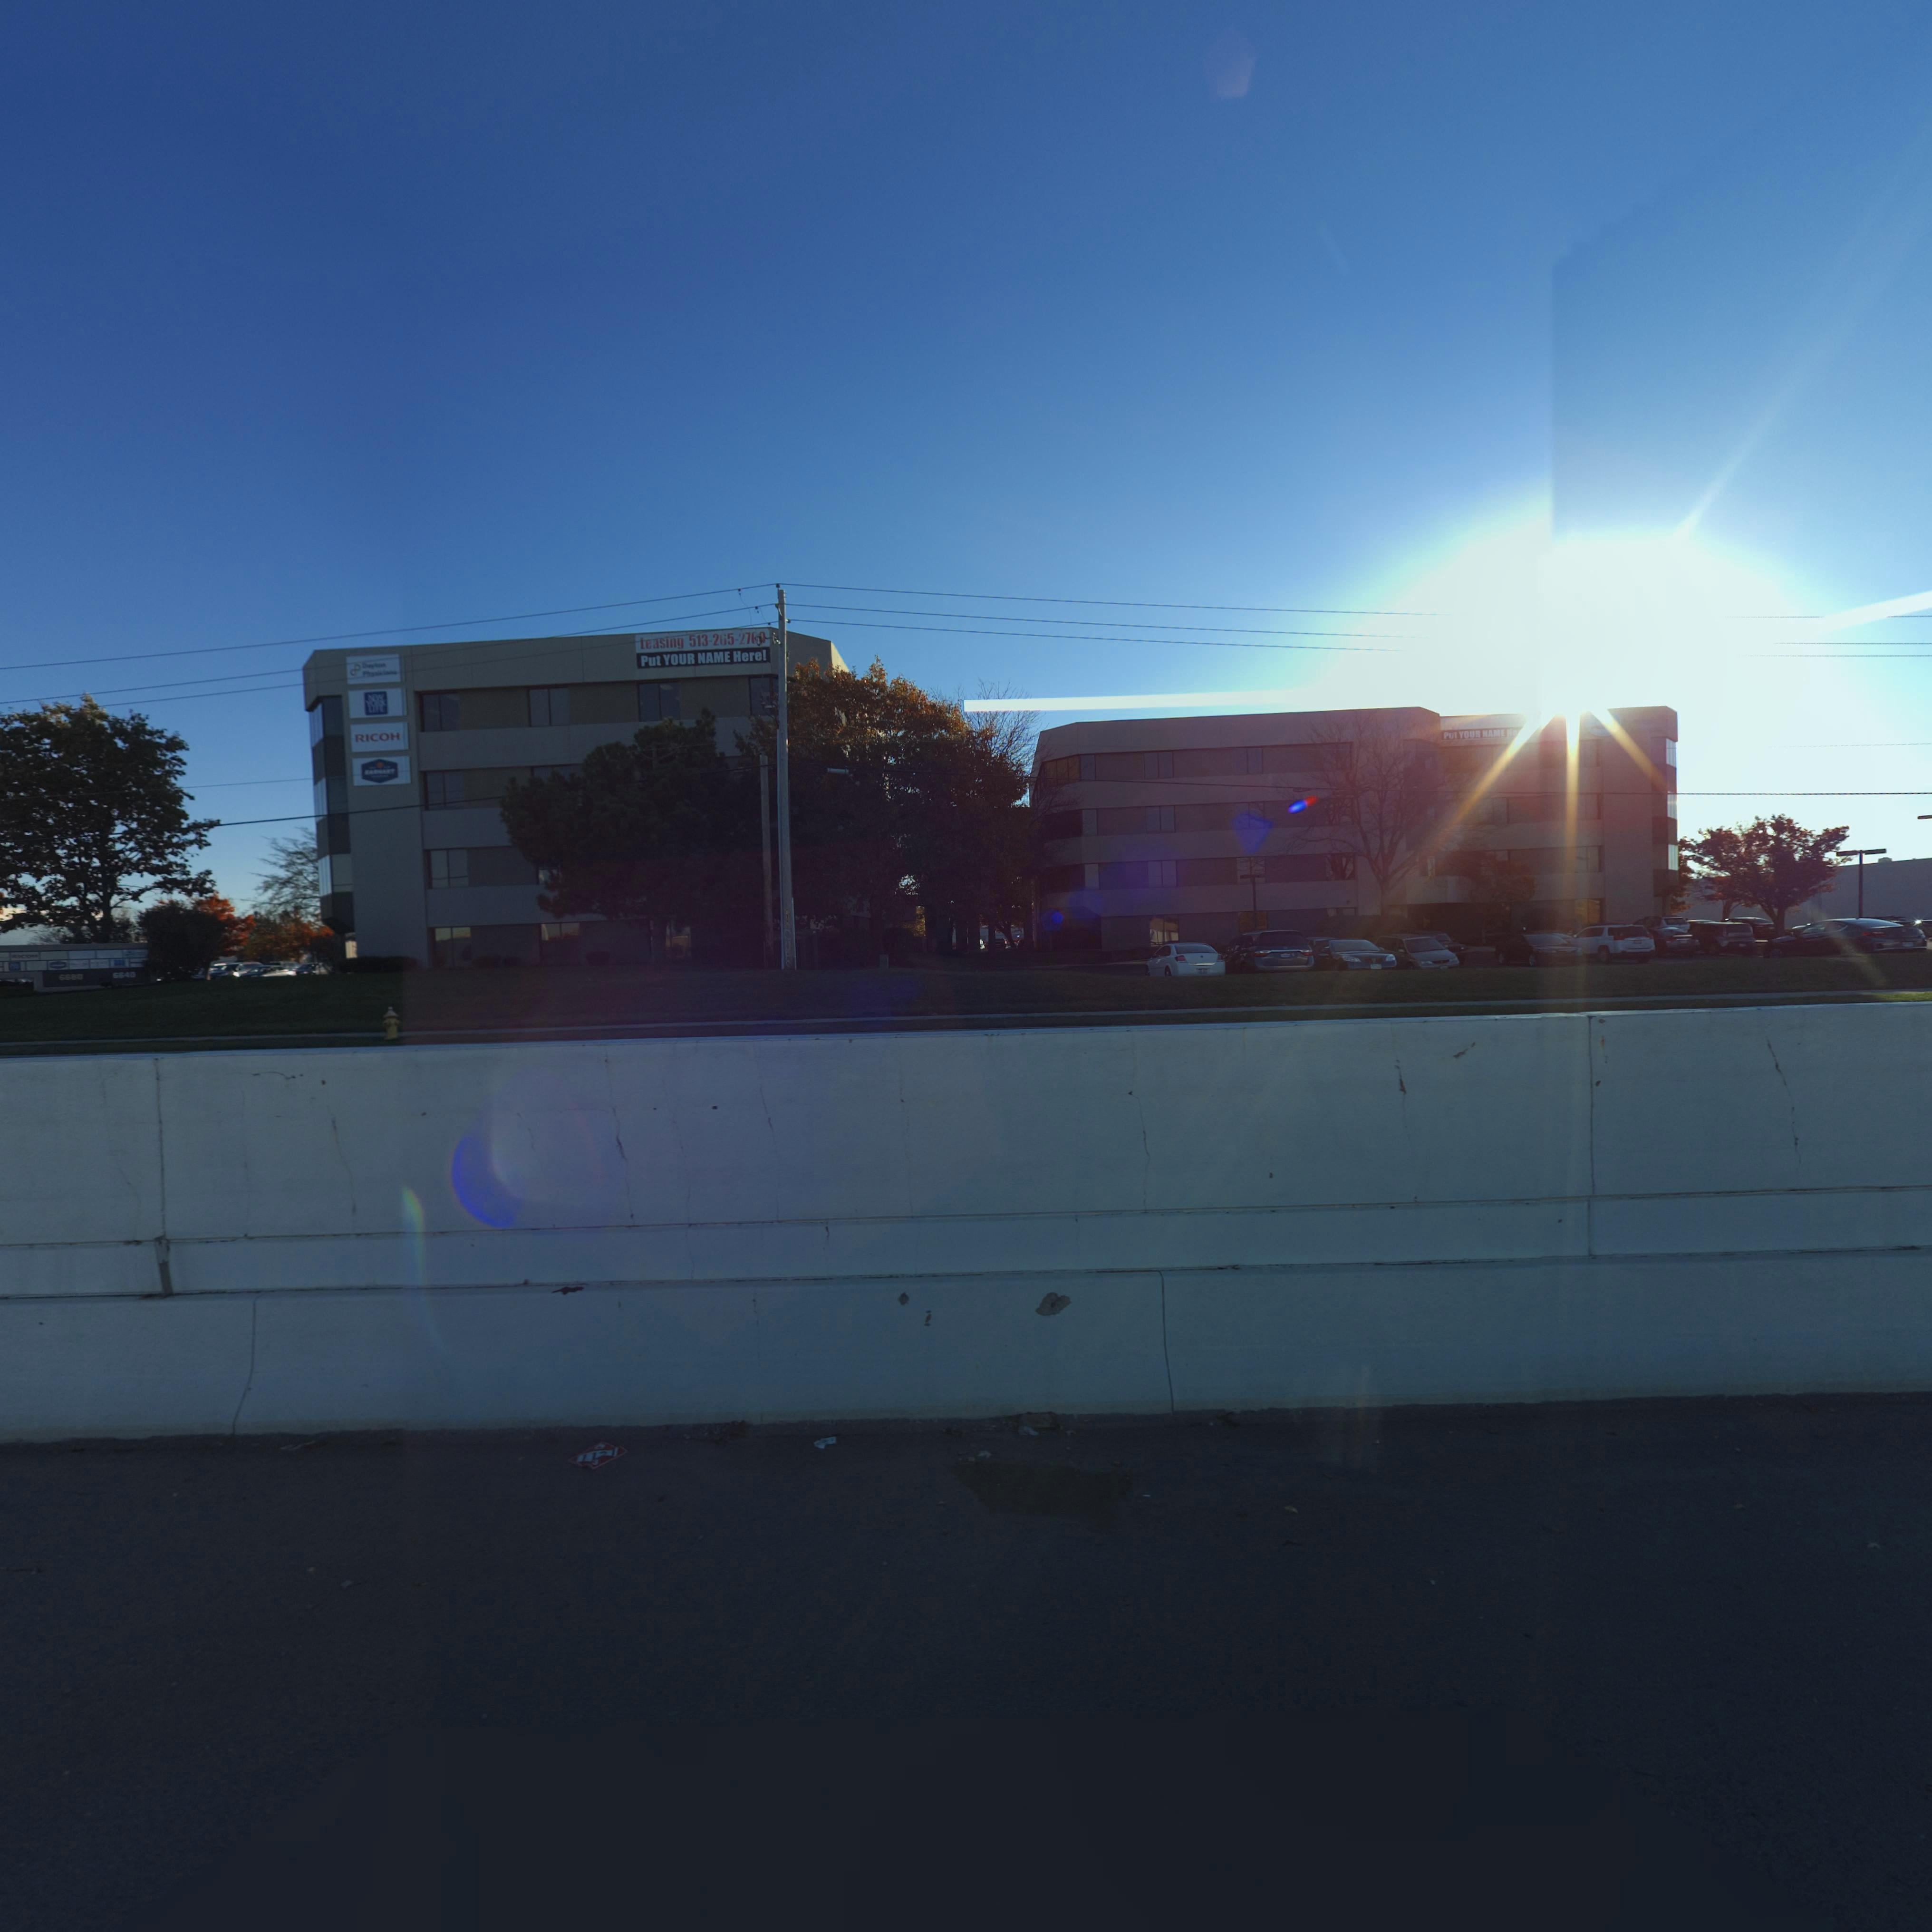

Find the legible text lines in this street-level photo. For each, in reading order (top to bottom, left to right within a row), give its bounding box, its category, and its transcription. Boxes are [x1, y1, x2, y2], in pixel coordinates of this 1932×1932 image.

[637, 629, 766, 651] None: Leasing 513-265-27**
[637, 649, 769, 668] None: Put YOUR NAME Here
[364, 692, 385, 700] None: NEW
[364, 697, 387, 707] None: YORK
[364, 704, 386, 715] None: LIFE
[351, 731, 401, 745] None: Ricoh
[1441, 728, 1508, 740] None: Put YOUR NAME
[58, 973, 84, 982] StreetNumber: **80
[112, 970, 137, 980] StreetNumber: 6*40